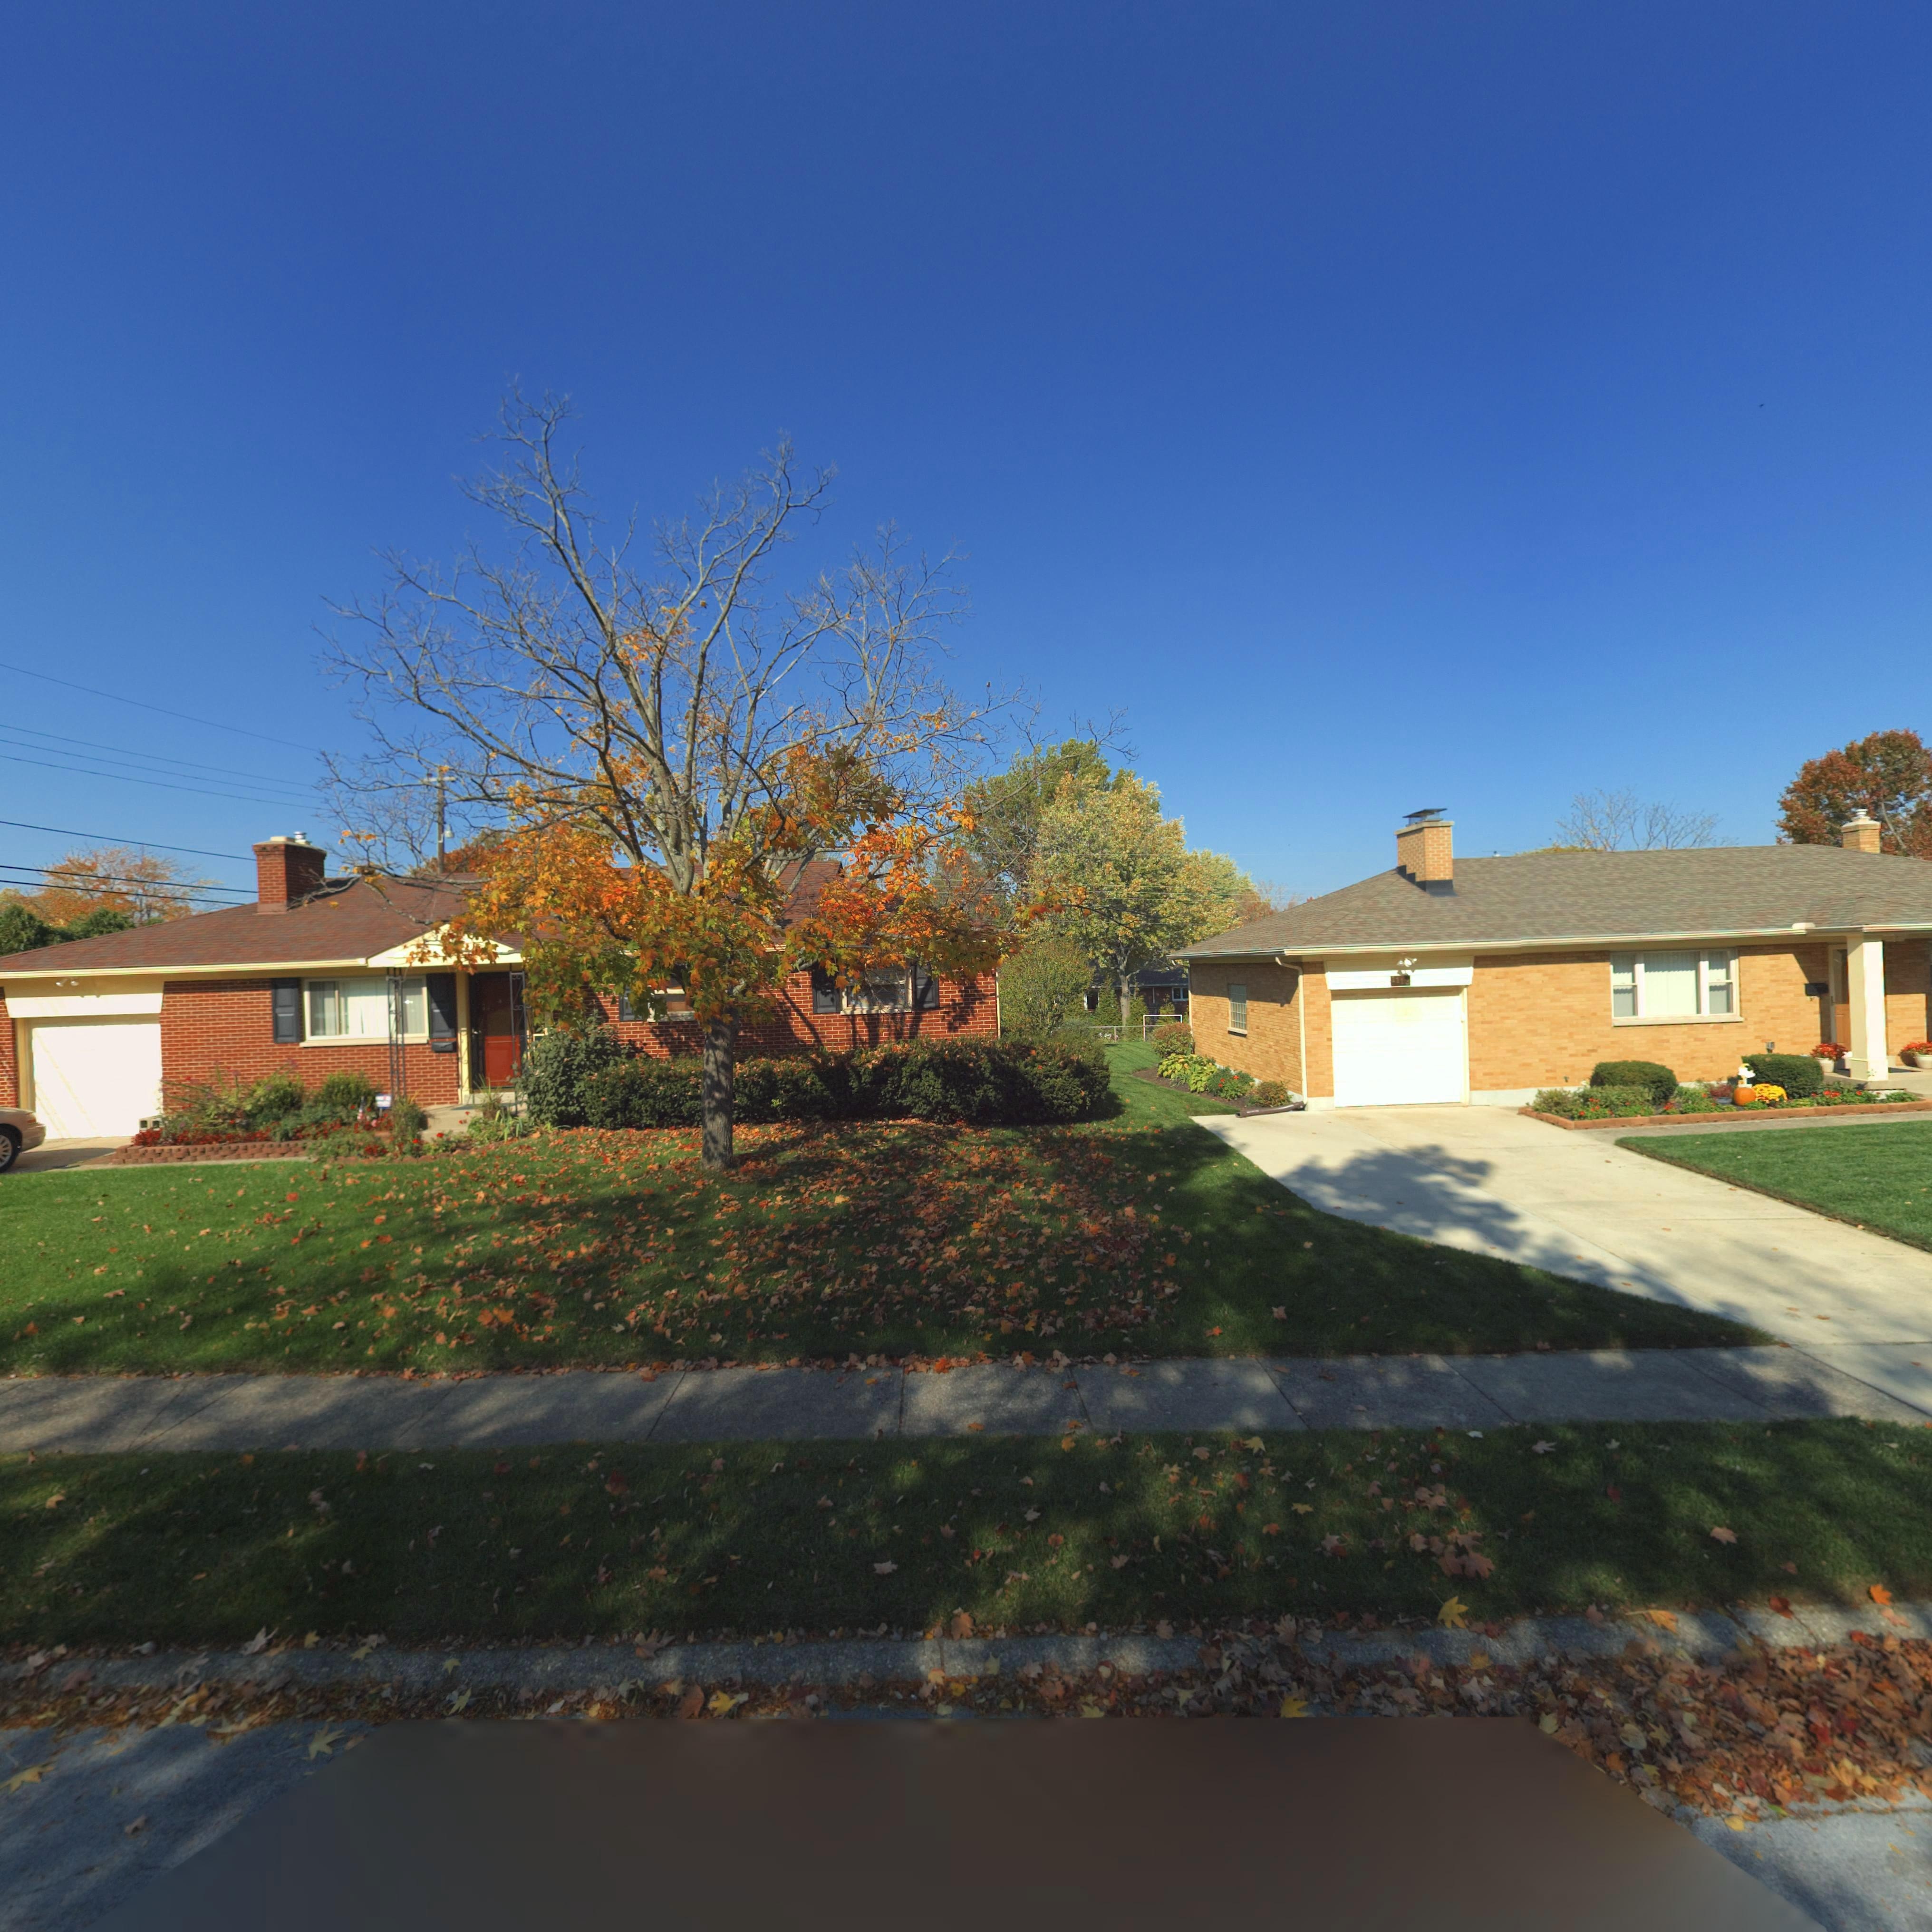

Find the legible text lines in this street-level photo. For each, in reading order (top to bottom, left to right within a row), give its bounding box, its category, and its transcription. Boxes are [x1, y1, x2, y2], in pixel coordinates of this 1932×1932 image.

[1391, 976, 1410, 985] StreetNumber: 1113